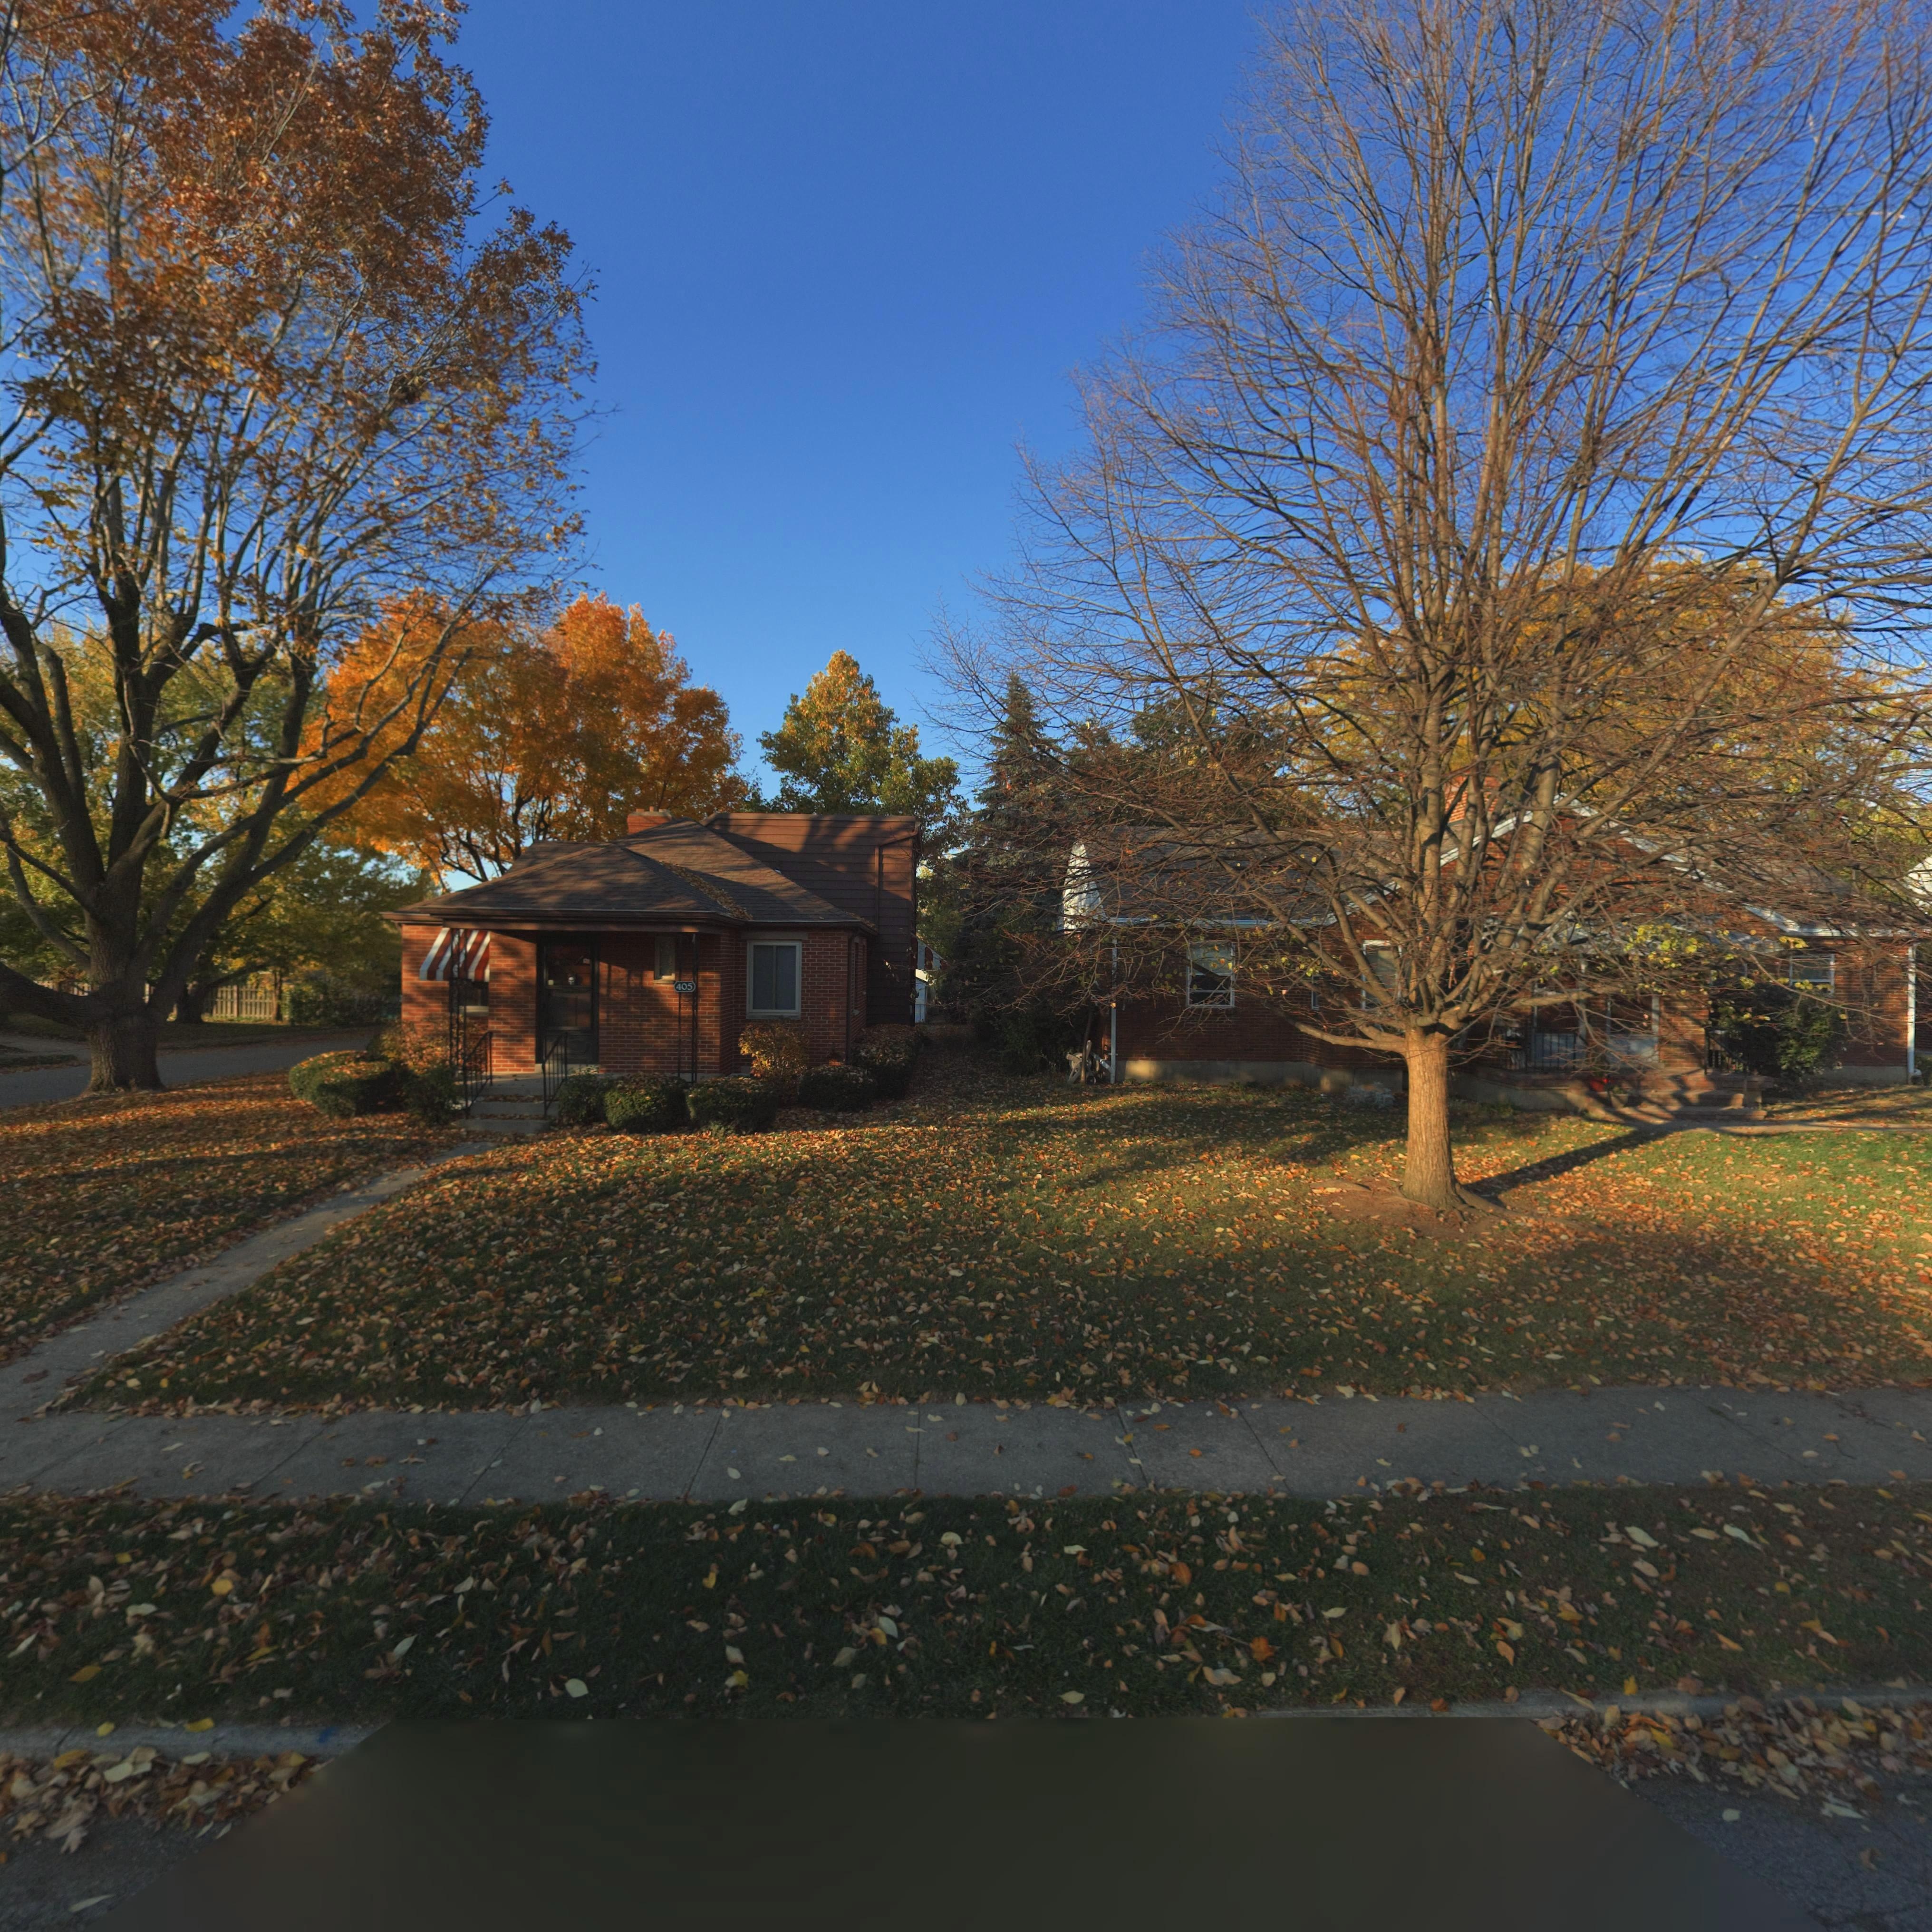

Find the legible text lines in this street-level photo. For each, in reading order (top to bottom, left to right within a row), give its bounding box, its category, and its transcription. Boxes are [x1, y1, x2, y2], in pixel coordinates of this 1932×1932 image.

[675, 982, 694, 991] StreetNumber: 405